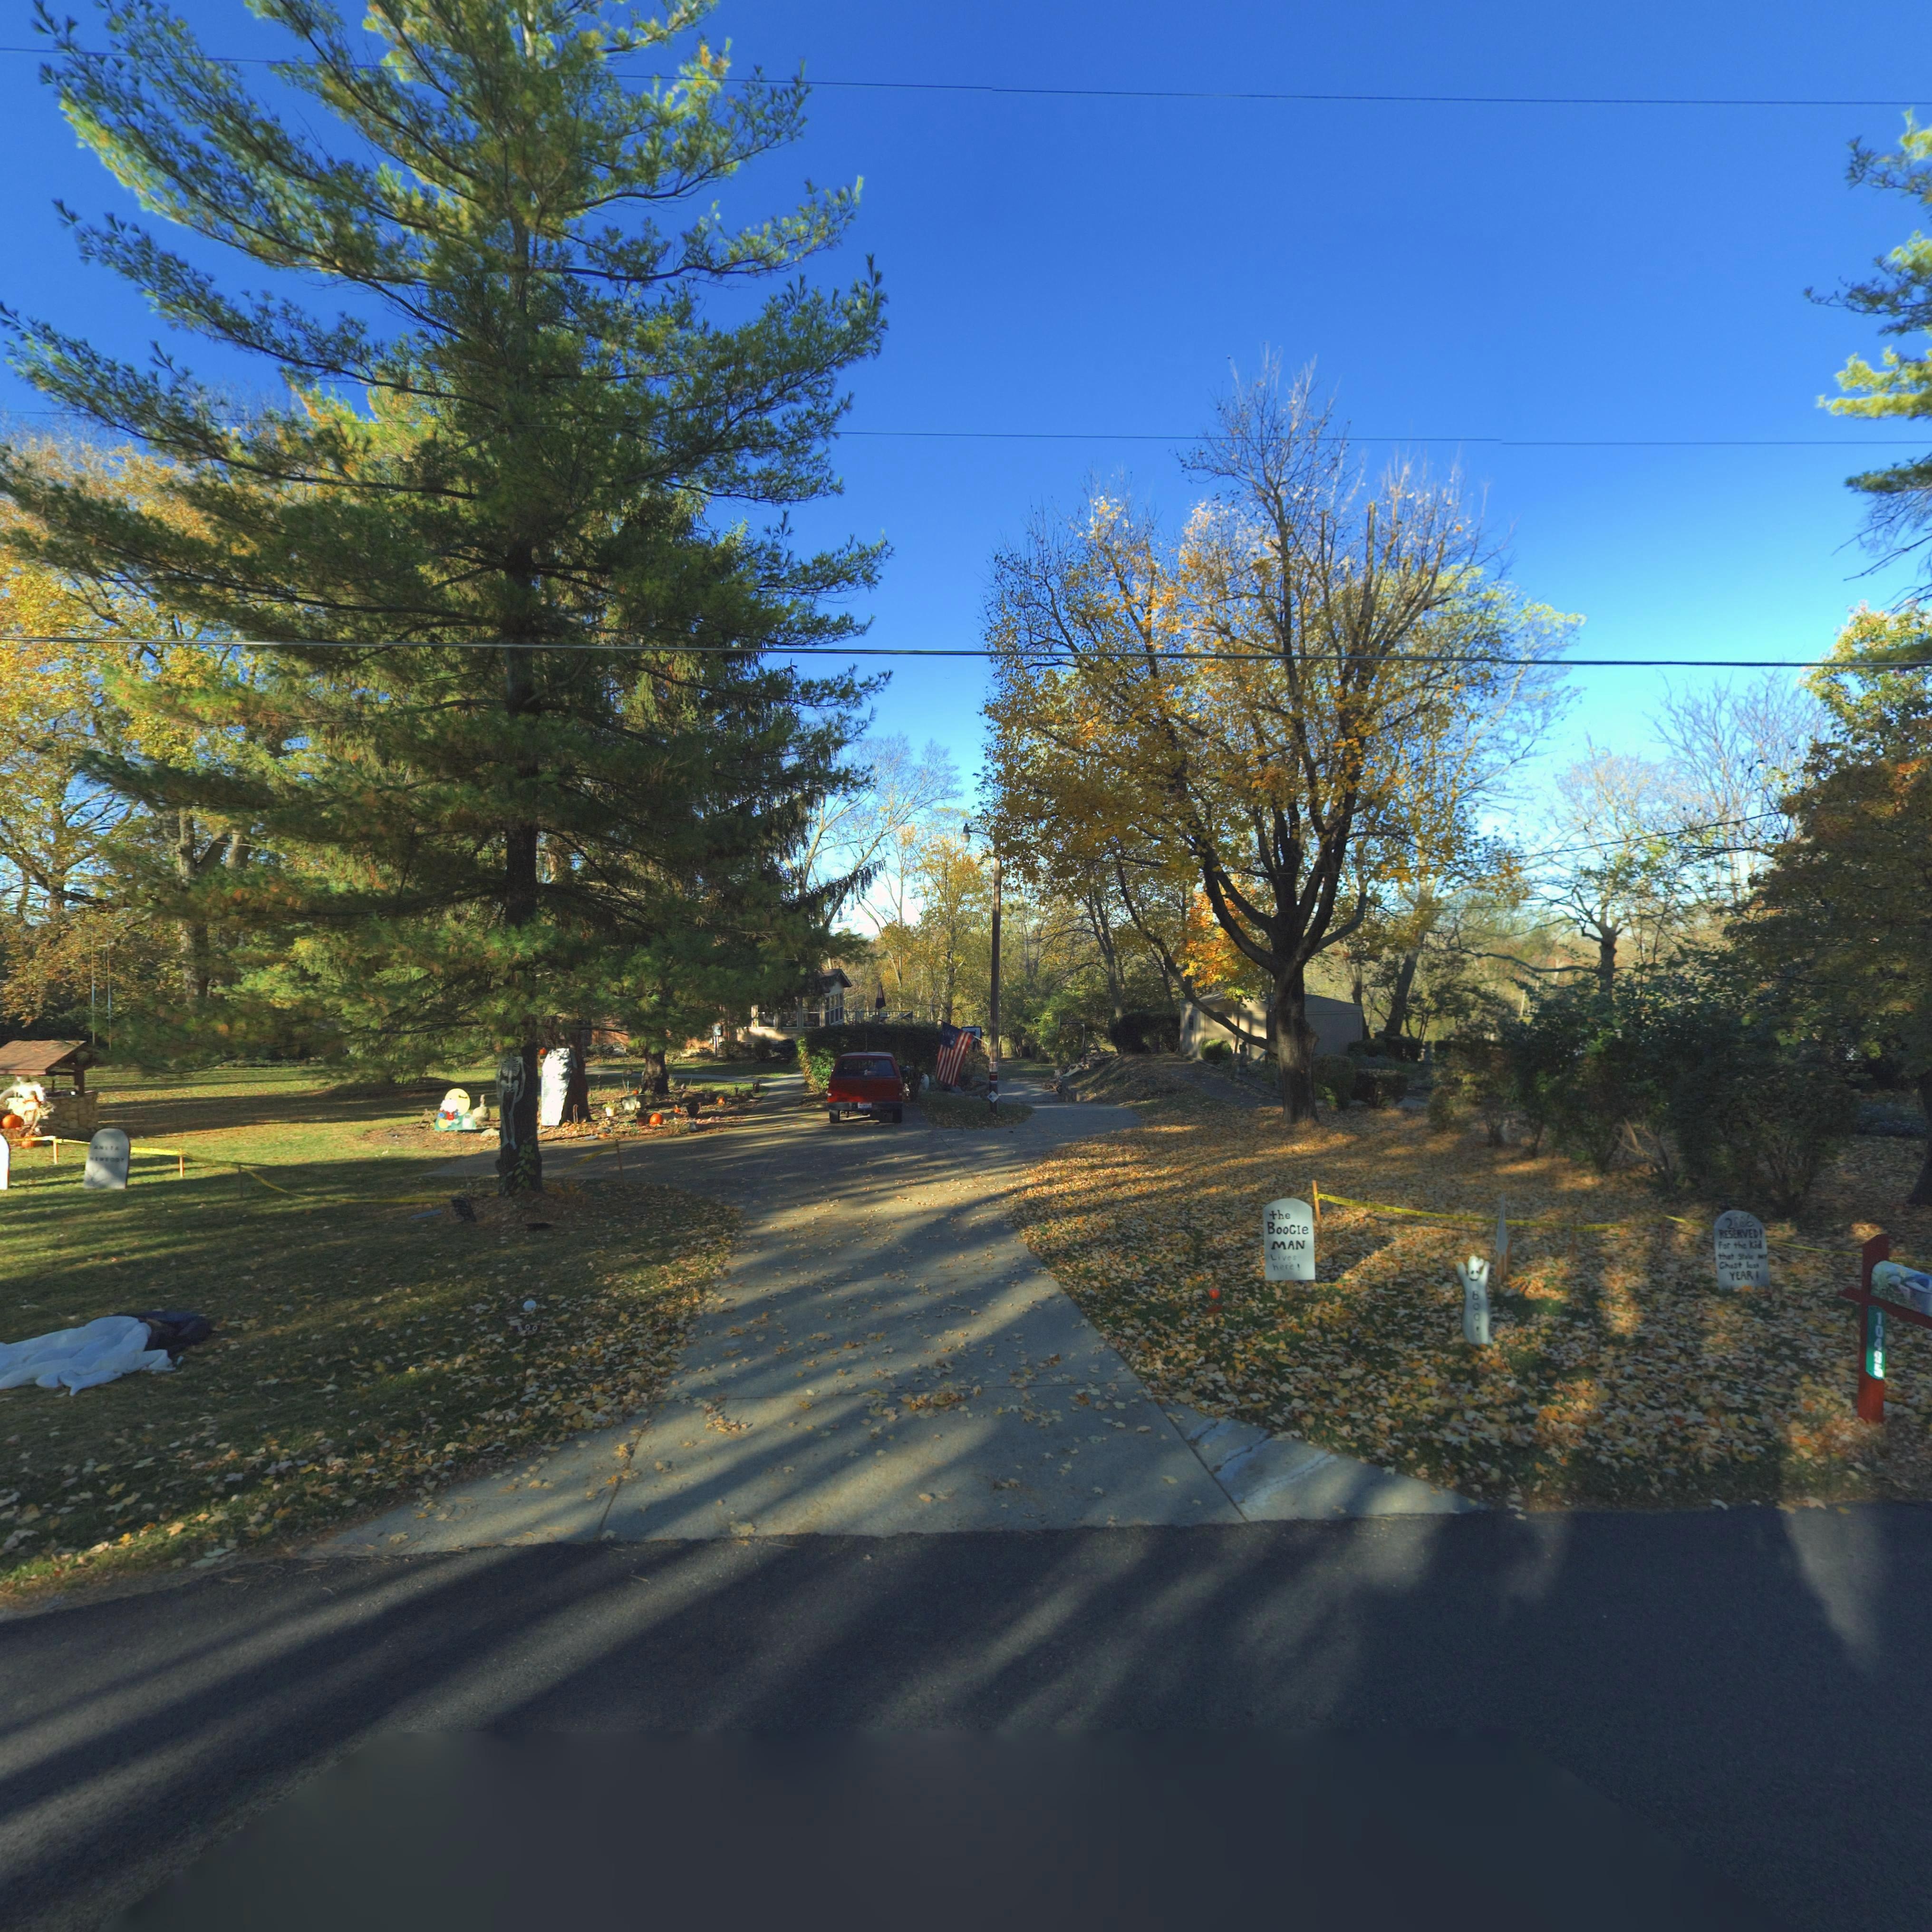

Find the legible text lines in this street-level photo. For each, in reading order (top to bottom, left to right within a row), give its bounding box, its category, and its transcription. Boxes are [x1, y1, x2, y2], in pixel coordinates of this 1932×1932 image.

[1268, 1209, 1292, 1221] None: the
[1265, 1220, 1309, 1235] None: BooGie
[1718, 1227, 1764, 1240] None: RESERVED!
[1270, 1239, 1307, 1252] None: MAN
[1718, 1239, 1764, 1250] None: For the Kid
[1269, 1253, 1298, 1262] None: Lives
[1717, 1251, 1767, 1261] None: that ***** **
[1270, 1262, 1301, 1272] None: here
[1717, 1260, 1762, 1271] None: chest ****
[1727, 1270, 1761, 1283] None: YEAR!
[1872, 1310, 1885, 1379] StreetNumber: 104**